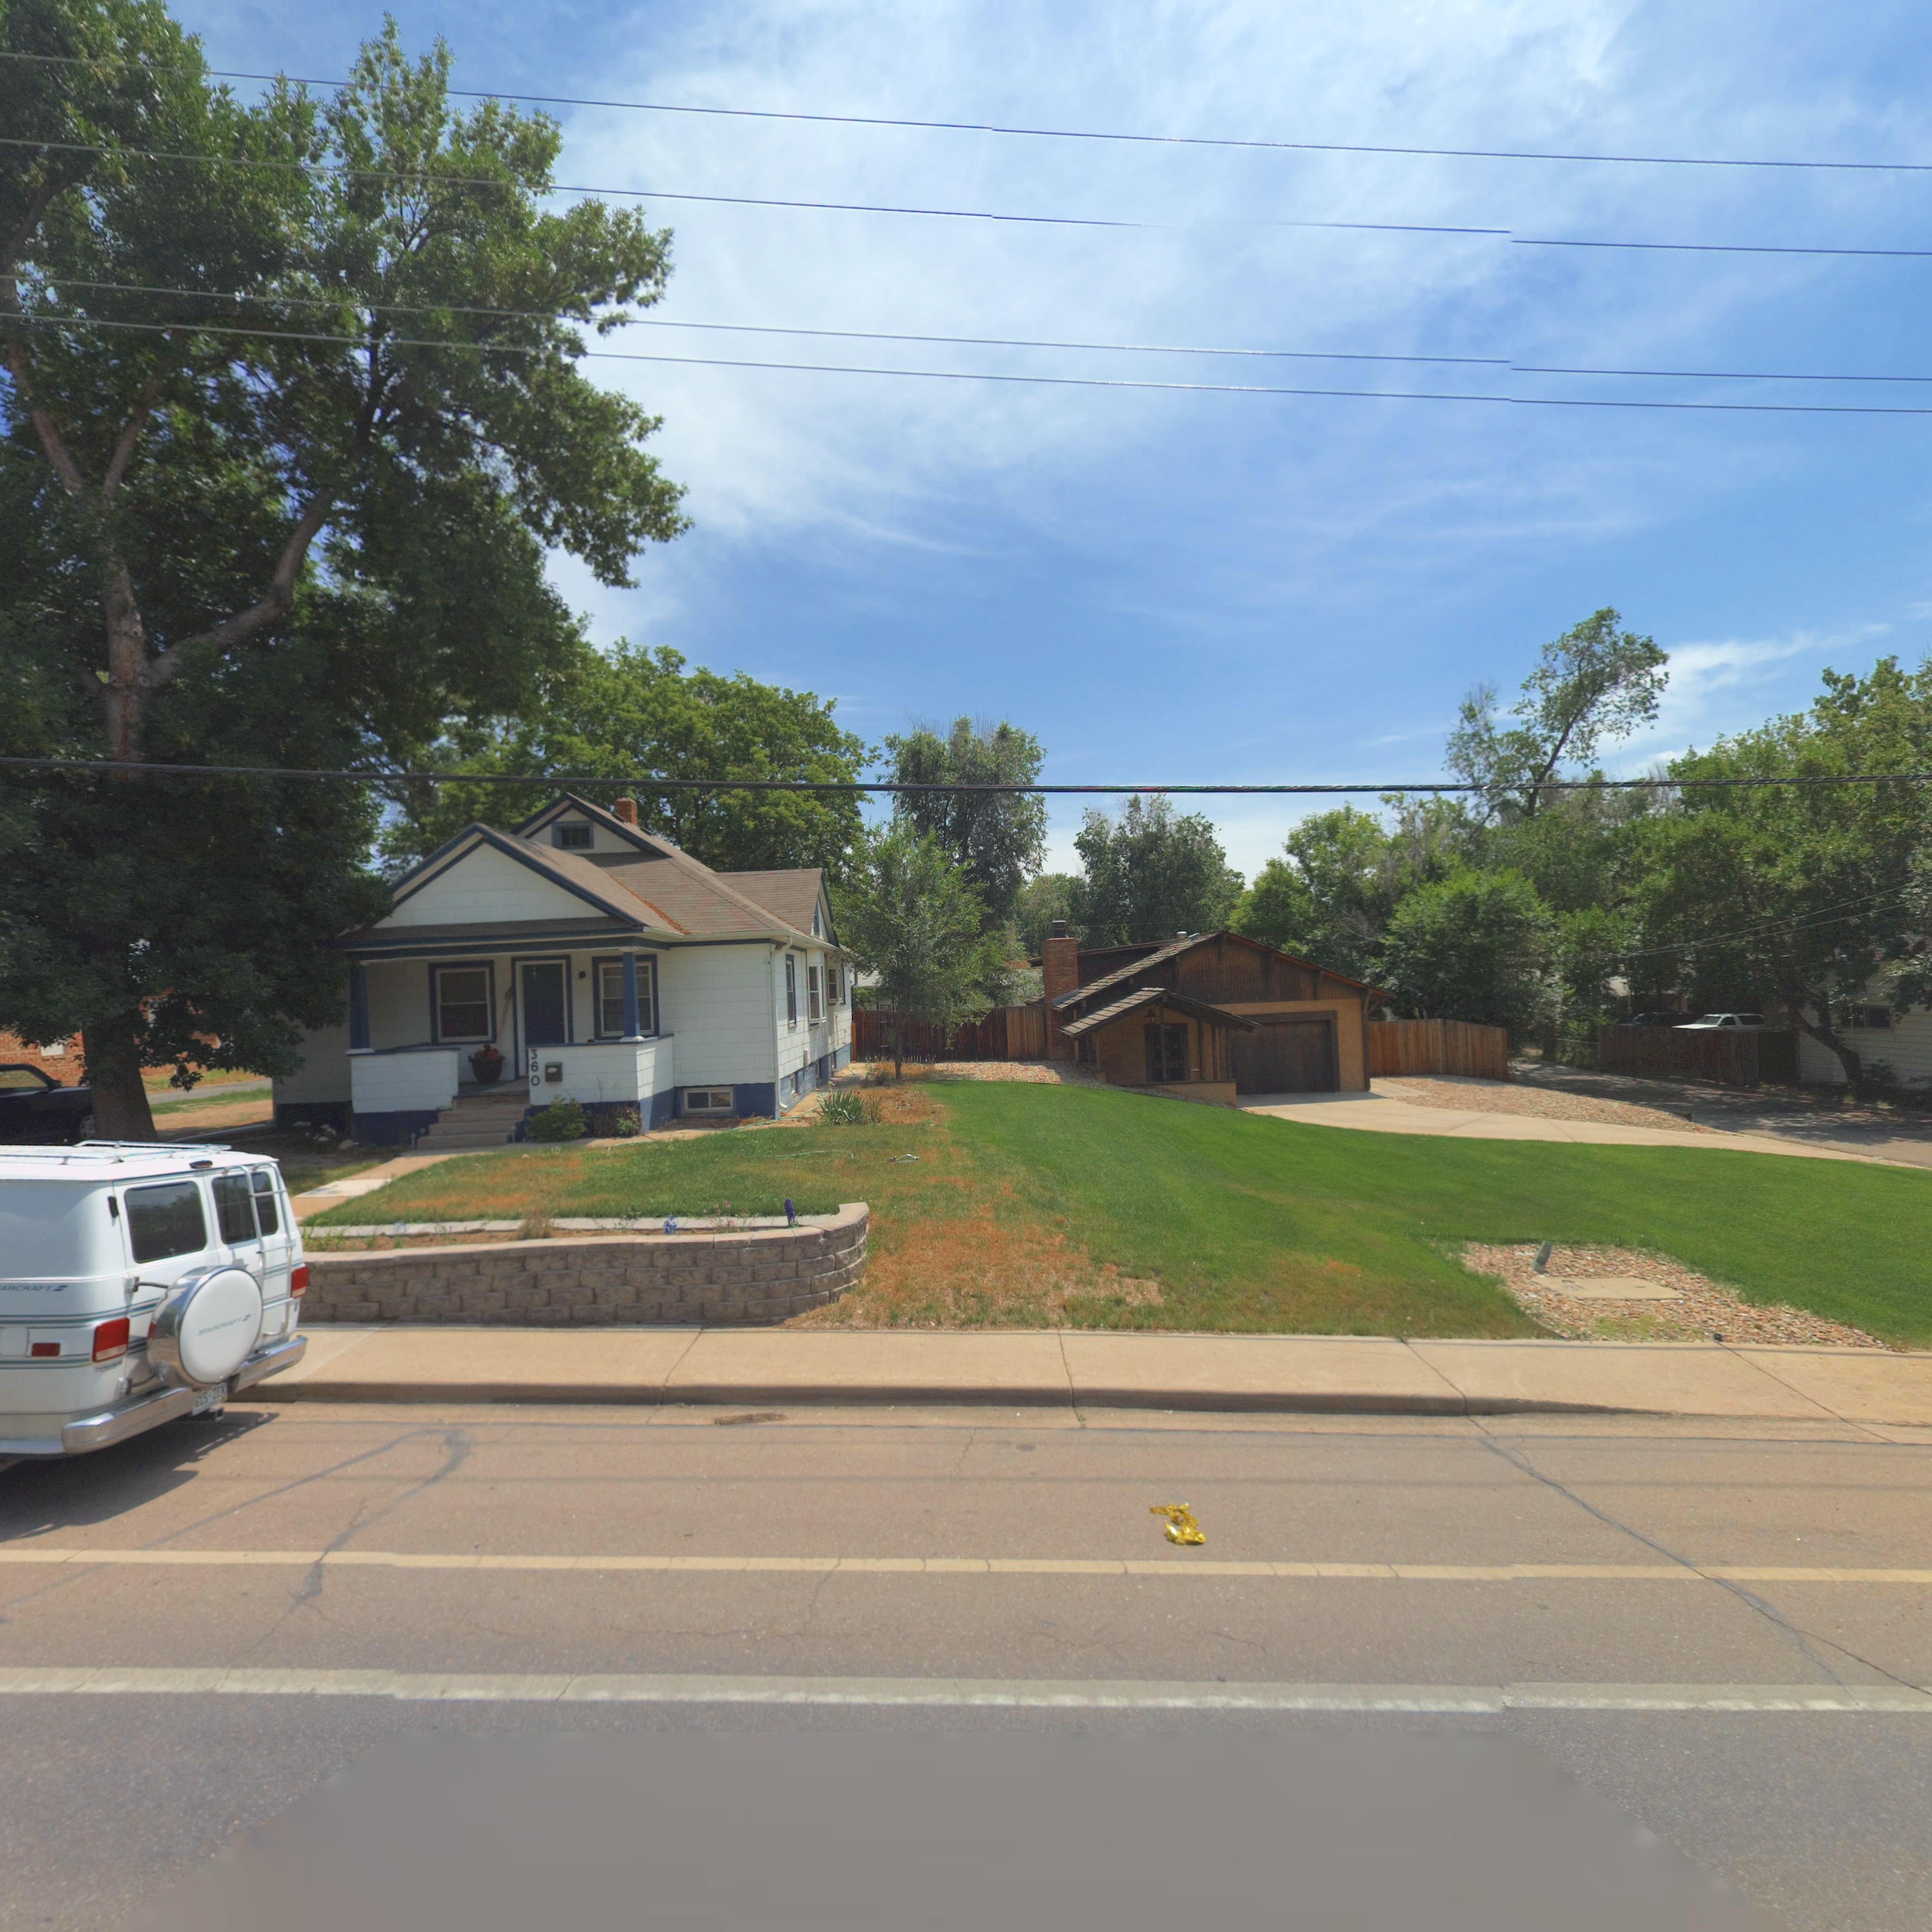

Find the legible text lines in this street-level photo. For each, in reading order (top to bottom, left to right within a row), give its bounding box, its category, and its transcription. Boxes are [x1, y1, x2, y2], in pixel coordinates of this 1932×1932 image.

[531, 1048, 540, 1086] StreetNumber: 360